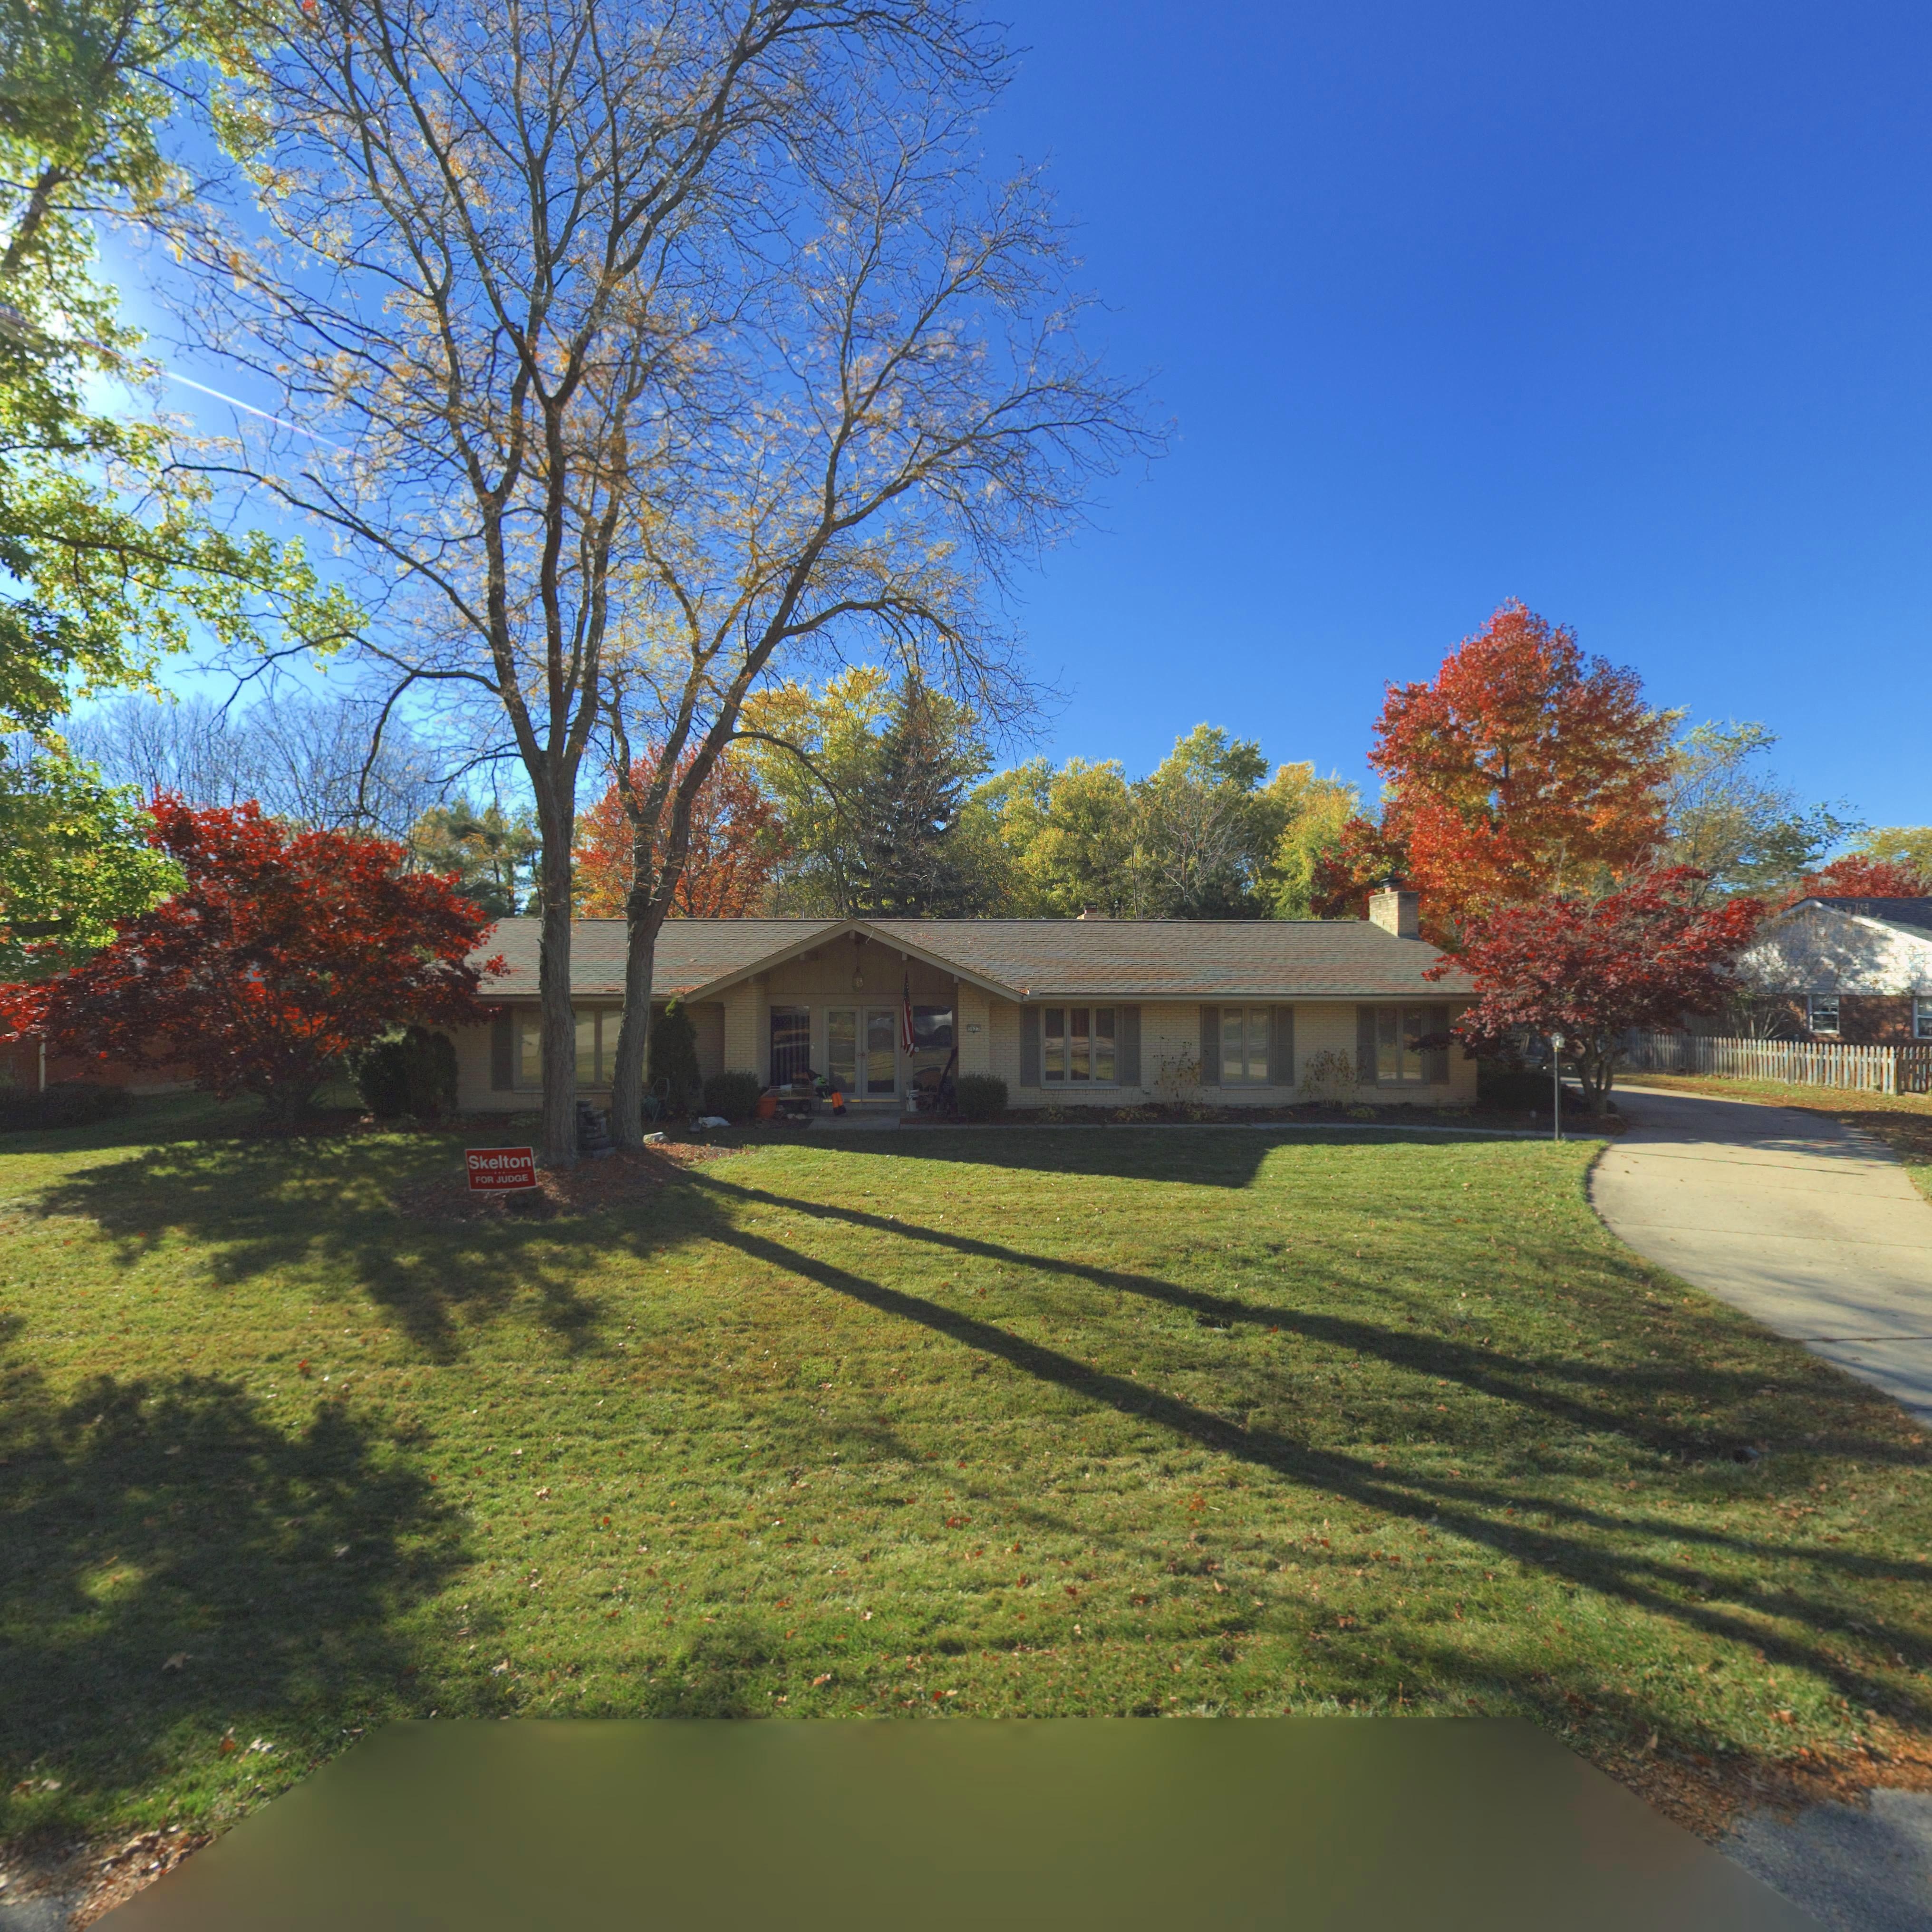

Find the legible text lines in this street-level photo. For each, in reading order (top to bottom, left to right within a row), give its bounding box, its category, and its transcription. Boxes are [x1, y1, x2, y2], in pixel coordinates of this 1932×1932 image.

[967, 1026, 980, 1031] StreetNumber: 5627
[468, 1155, 532, 1170] None: Skelton
[474, 1173, 530, 1184] None: FOR JUDGE